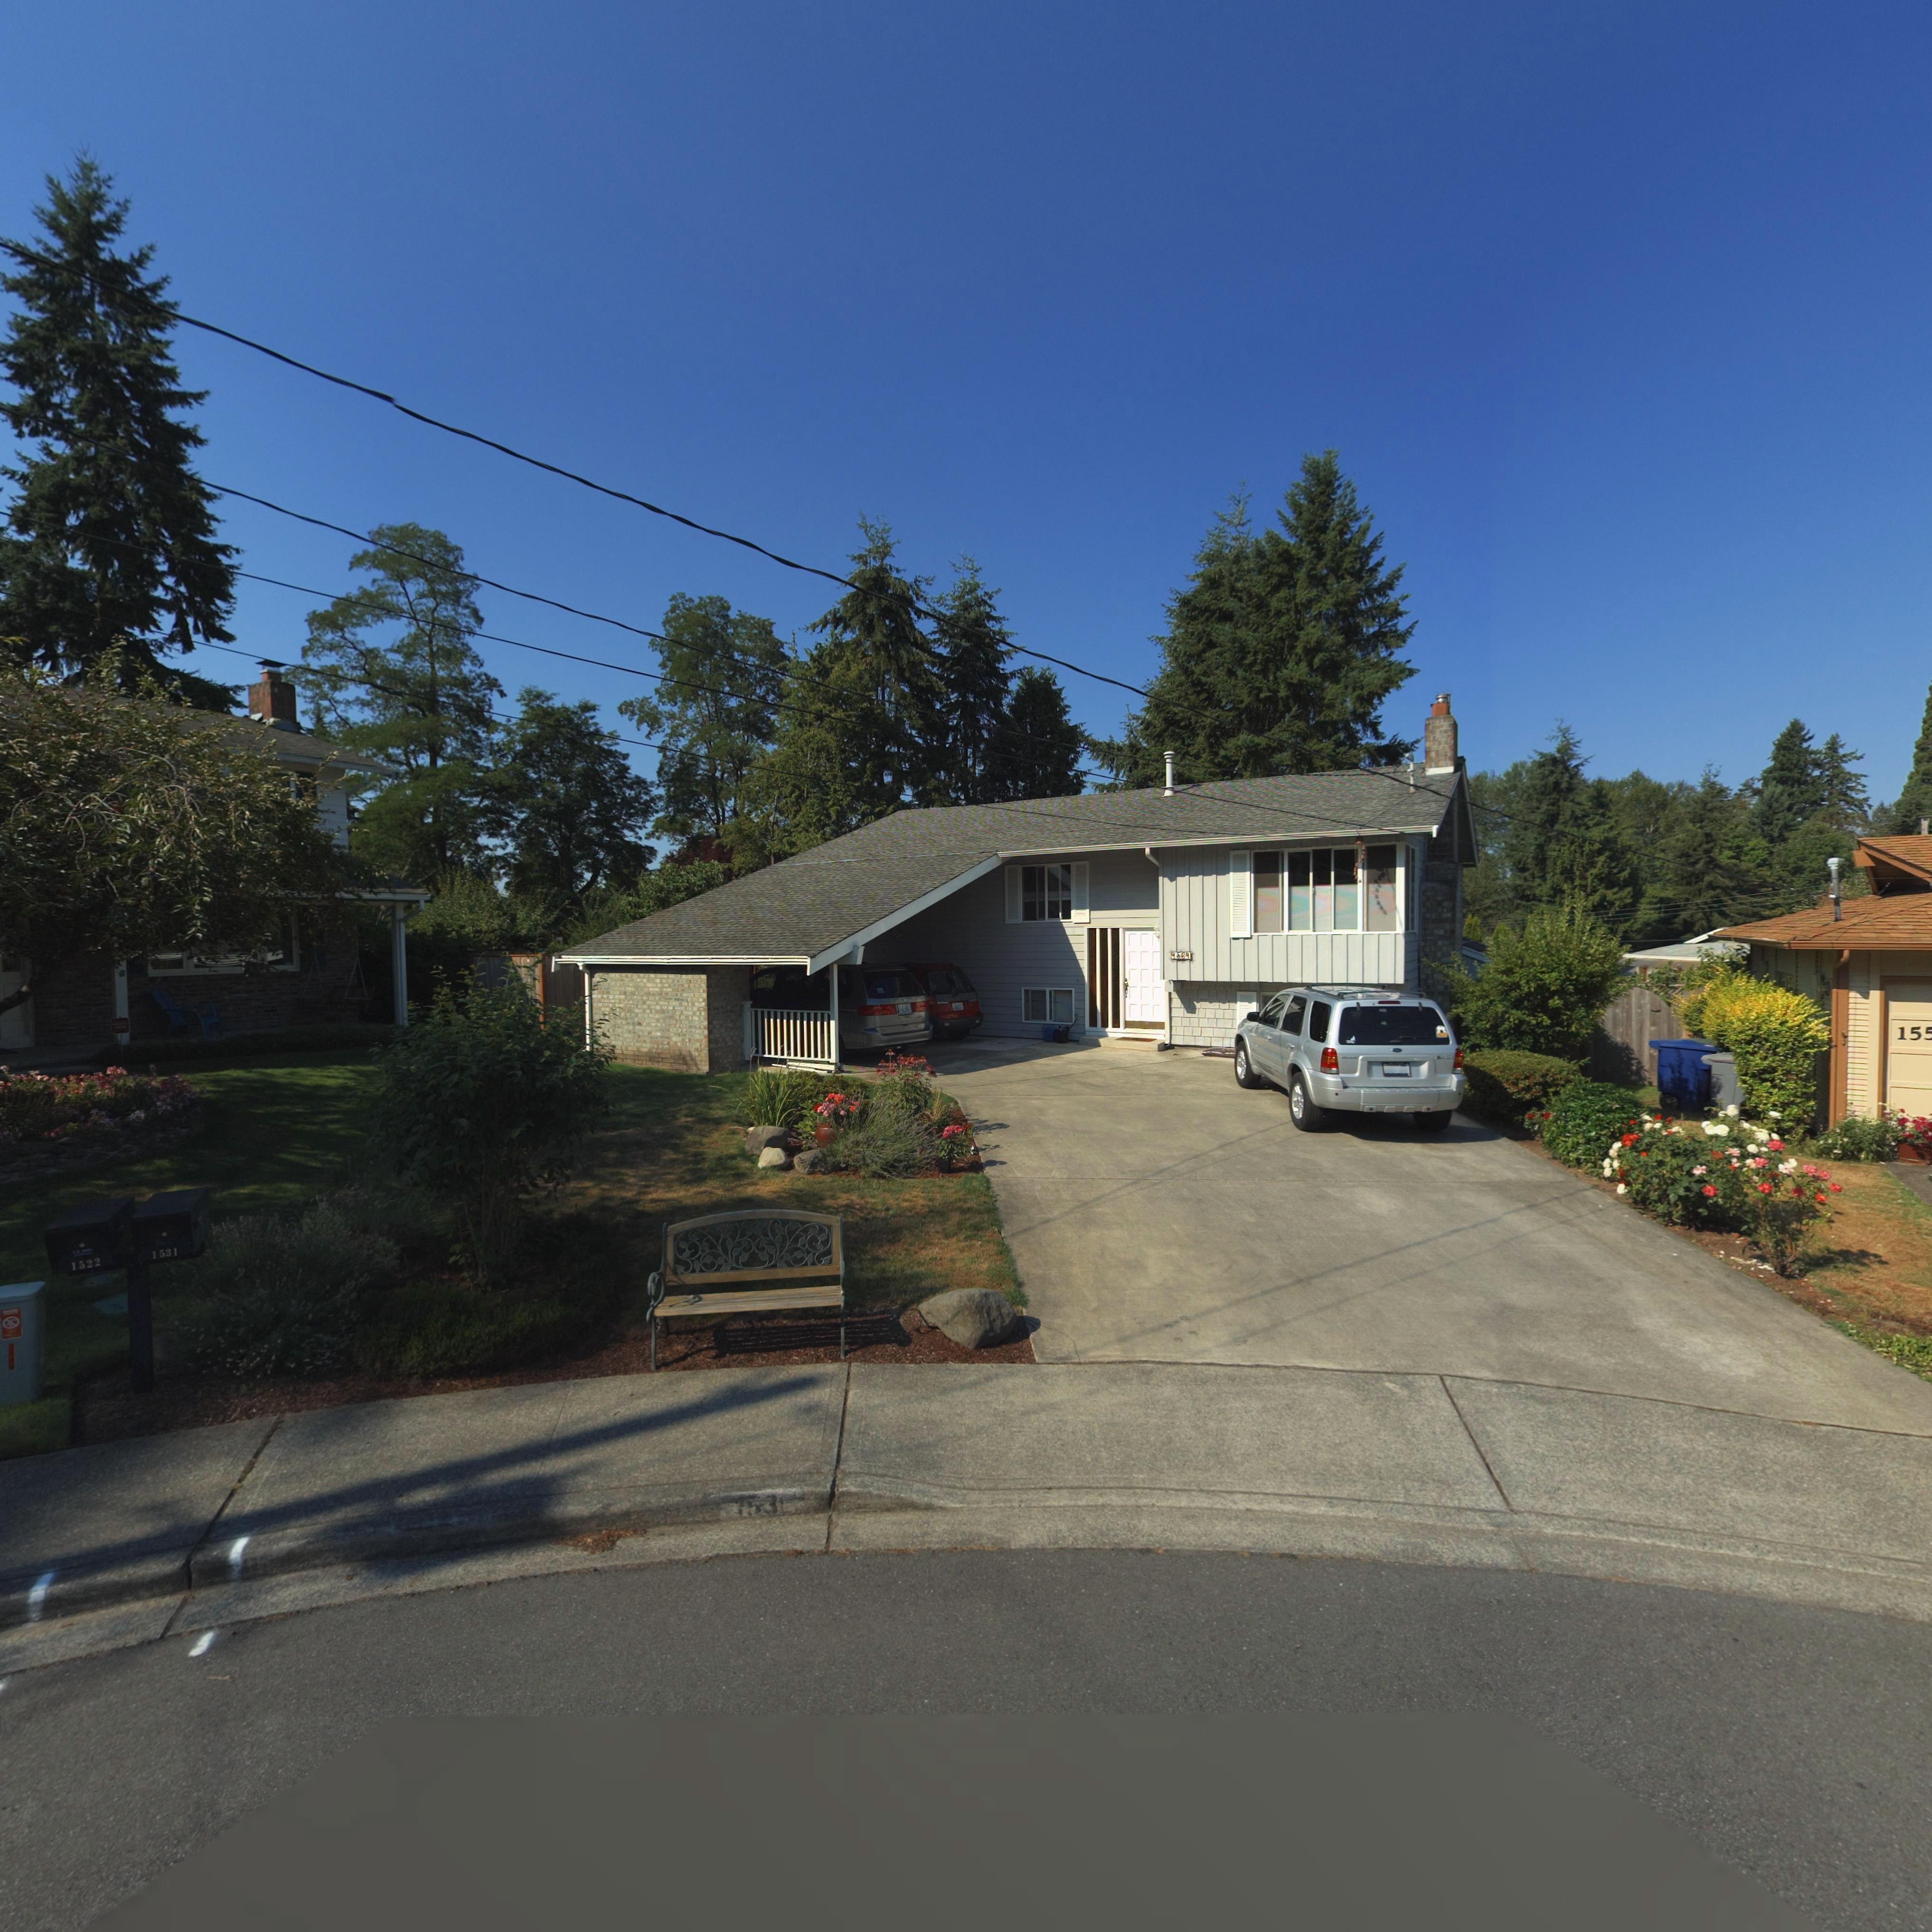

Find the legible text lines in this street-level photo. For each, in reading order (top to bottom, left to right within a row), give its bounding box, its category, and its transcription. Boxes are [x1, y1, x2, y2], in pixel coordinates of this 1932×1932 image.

[1896, 1025, 1922, 1042] StreetNumber: 15
[153, 1246, 179, 1261] None: 1531
[72, 1256, 100, 1271] StreetNumber: 1522